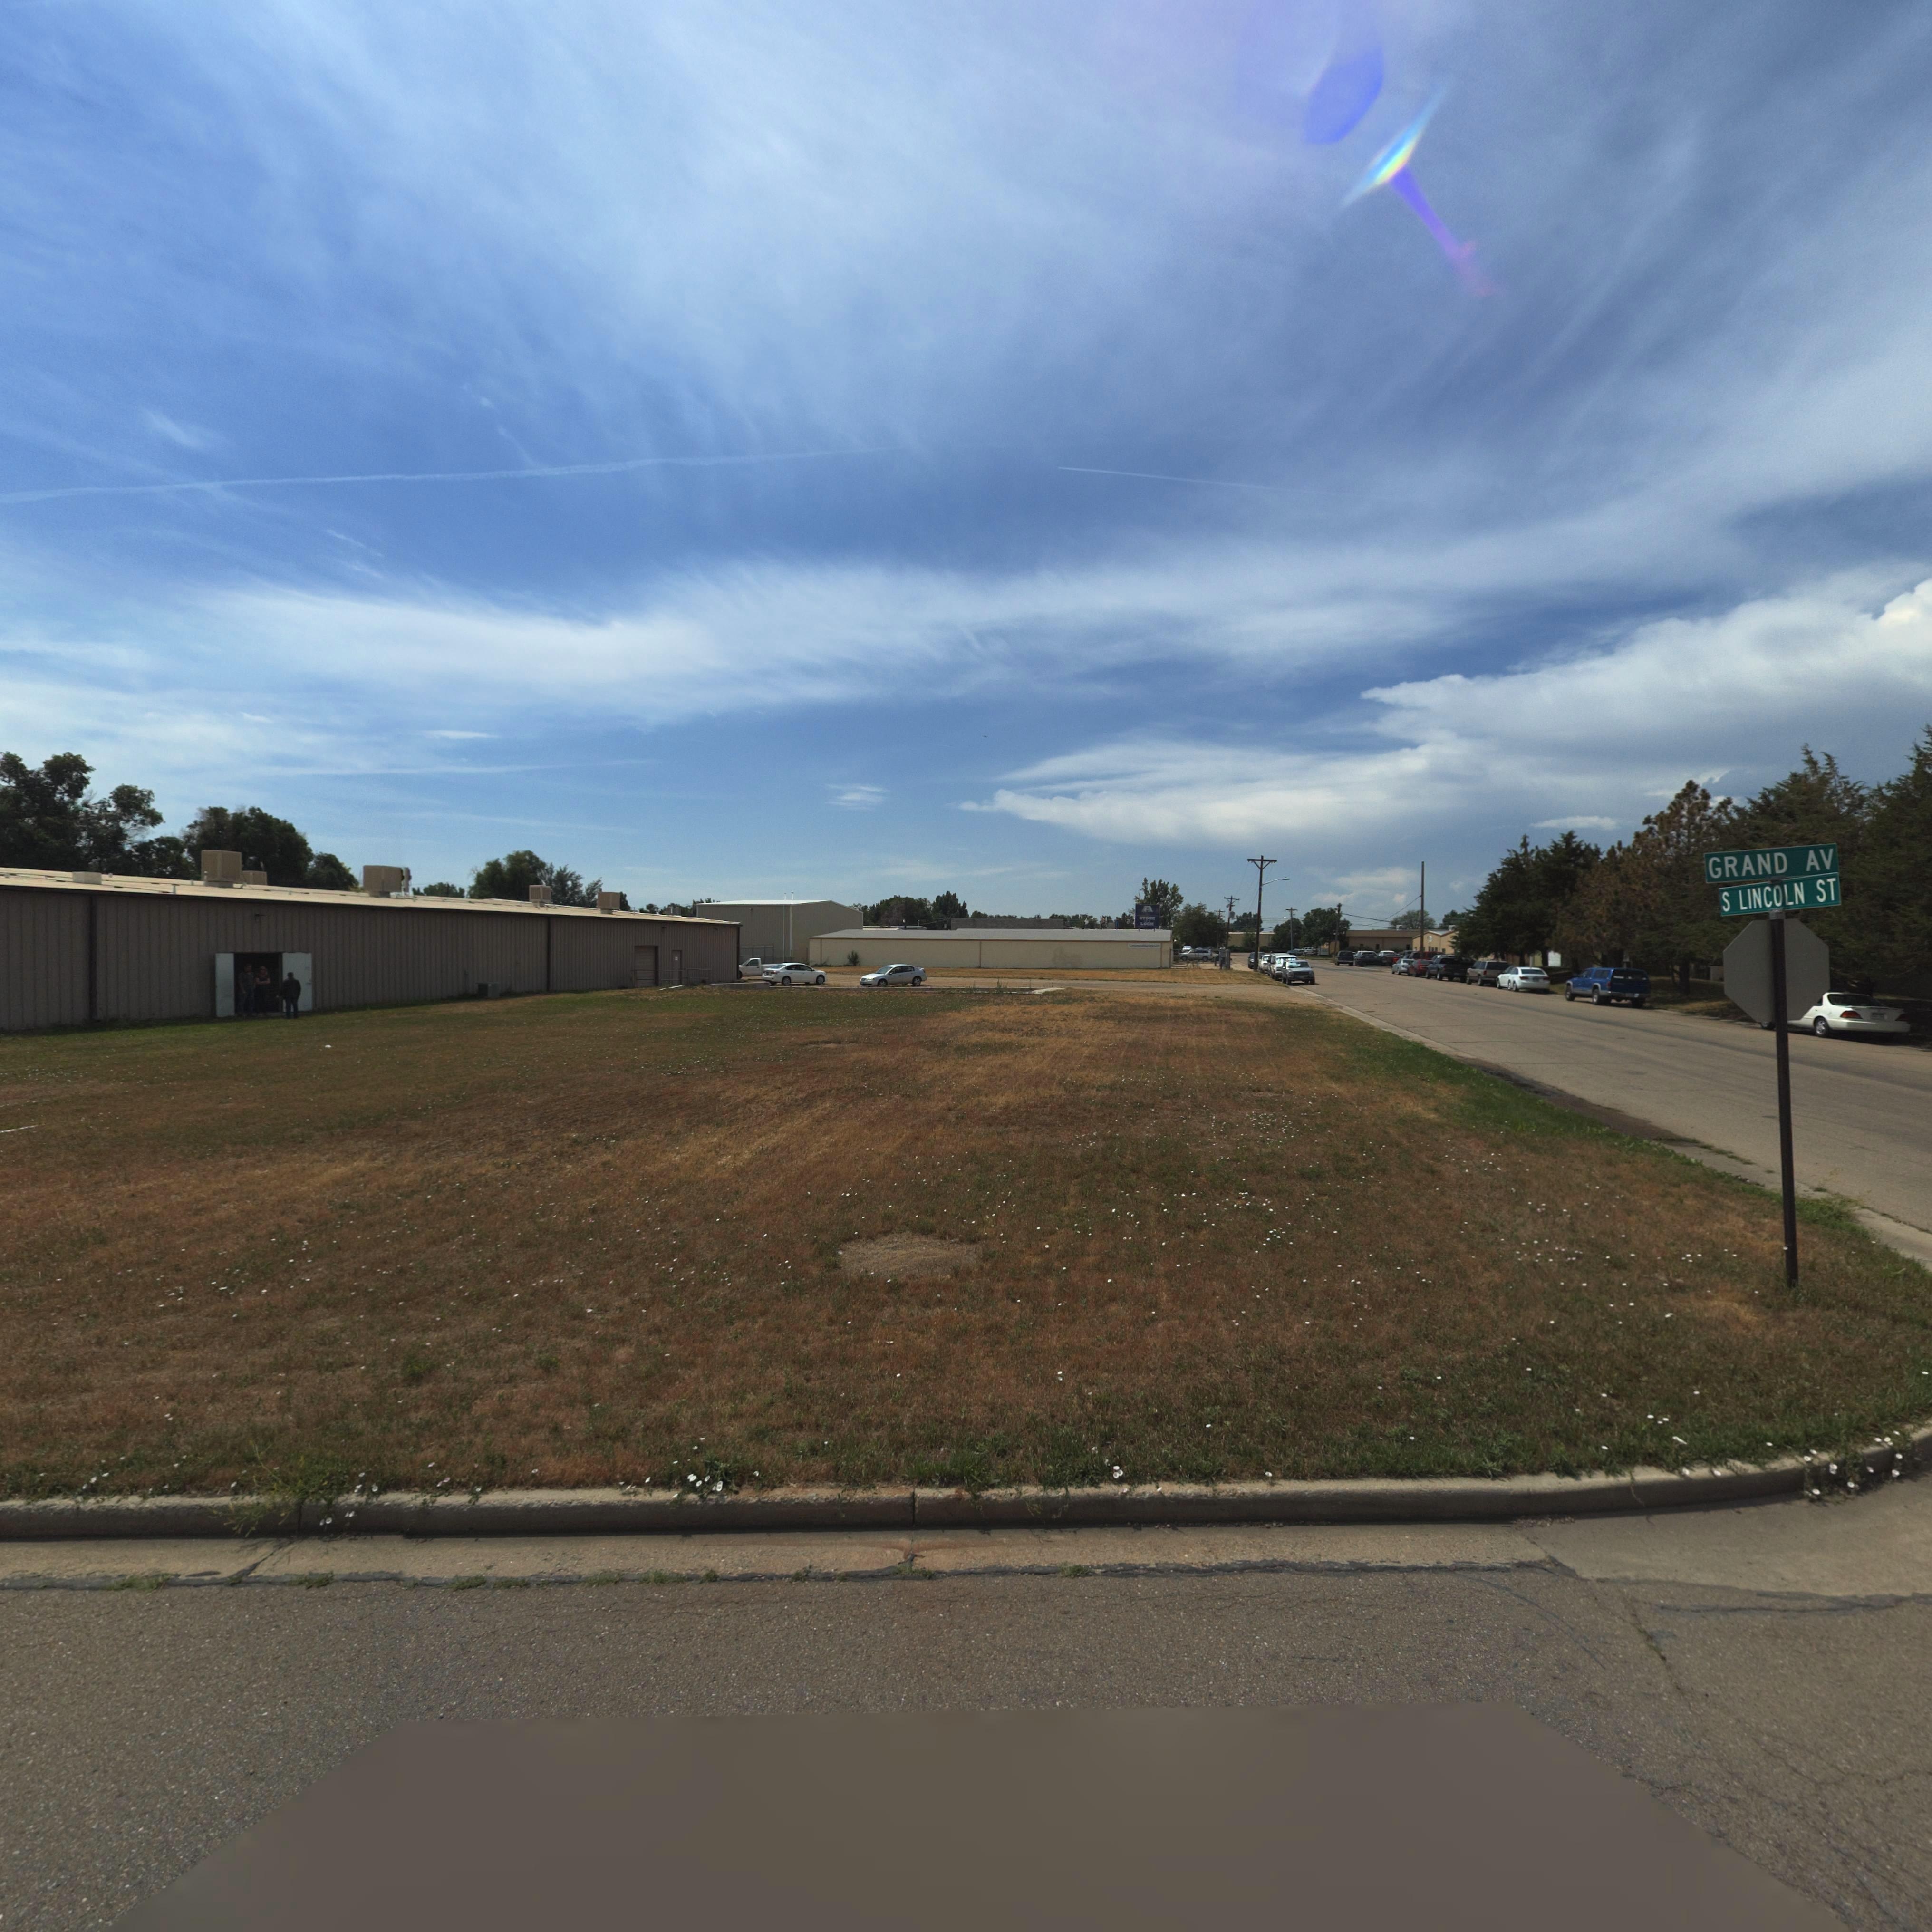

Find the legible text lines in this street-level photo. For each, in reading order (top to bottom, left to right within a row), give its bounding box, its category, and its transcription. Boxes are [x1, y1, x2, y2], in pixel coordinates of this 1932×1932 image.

[1708, 848, 1835, 878] BusinessName: GRAND AV
[1721, 877, 1836, 912] StreetName: S LINCOLN ST